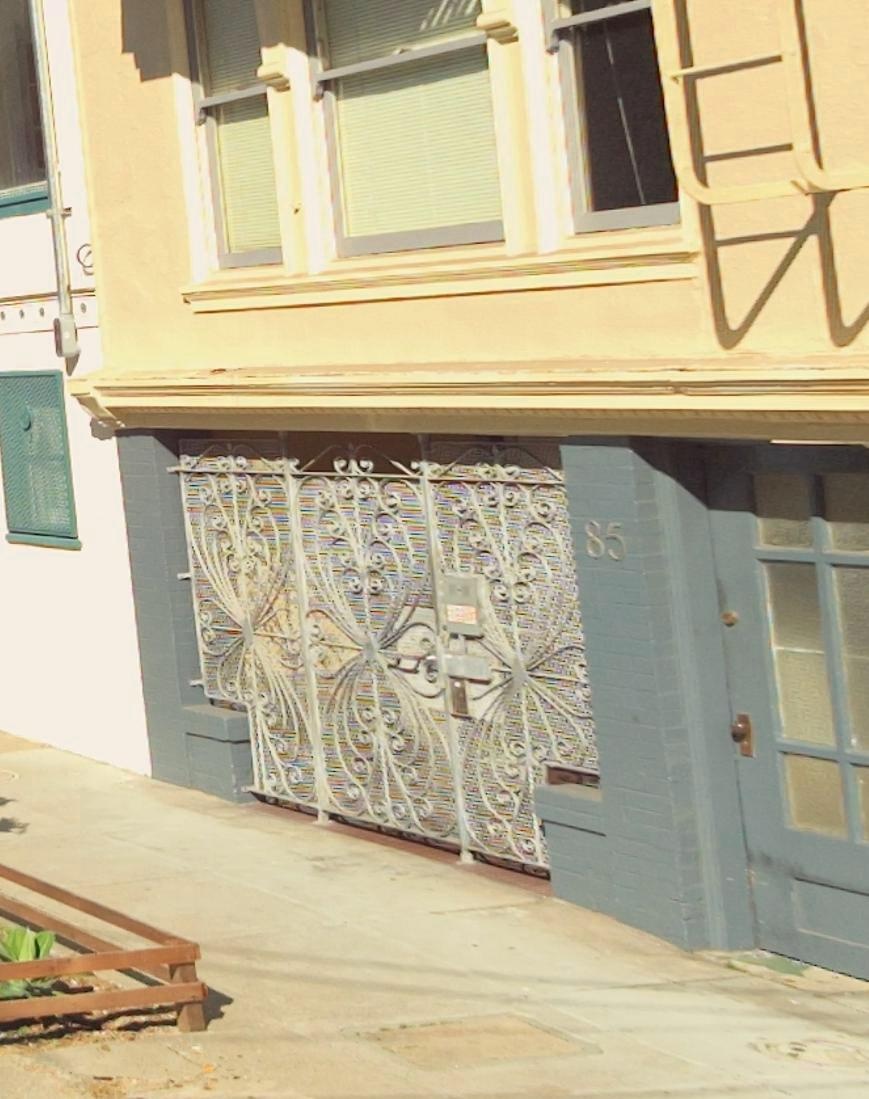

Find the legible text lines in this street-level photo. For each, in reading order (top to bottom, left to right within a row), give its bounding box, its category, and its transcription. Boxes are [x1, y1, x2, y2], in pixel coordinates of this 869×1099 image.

[582, 518, 630, 565] StreetNumber: 85